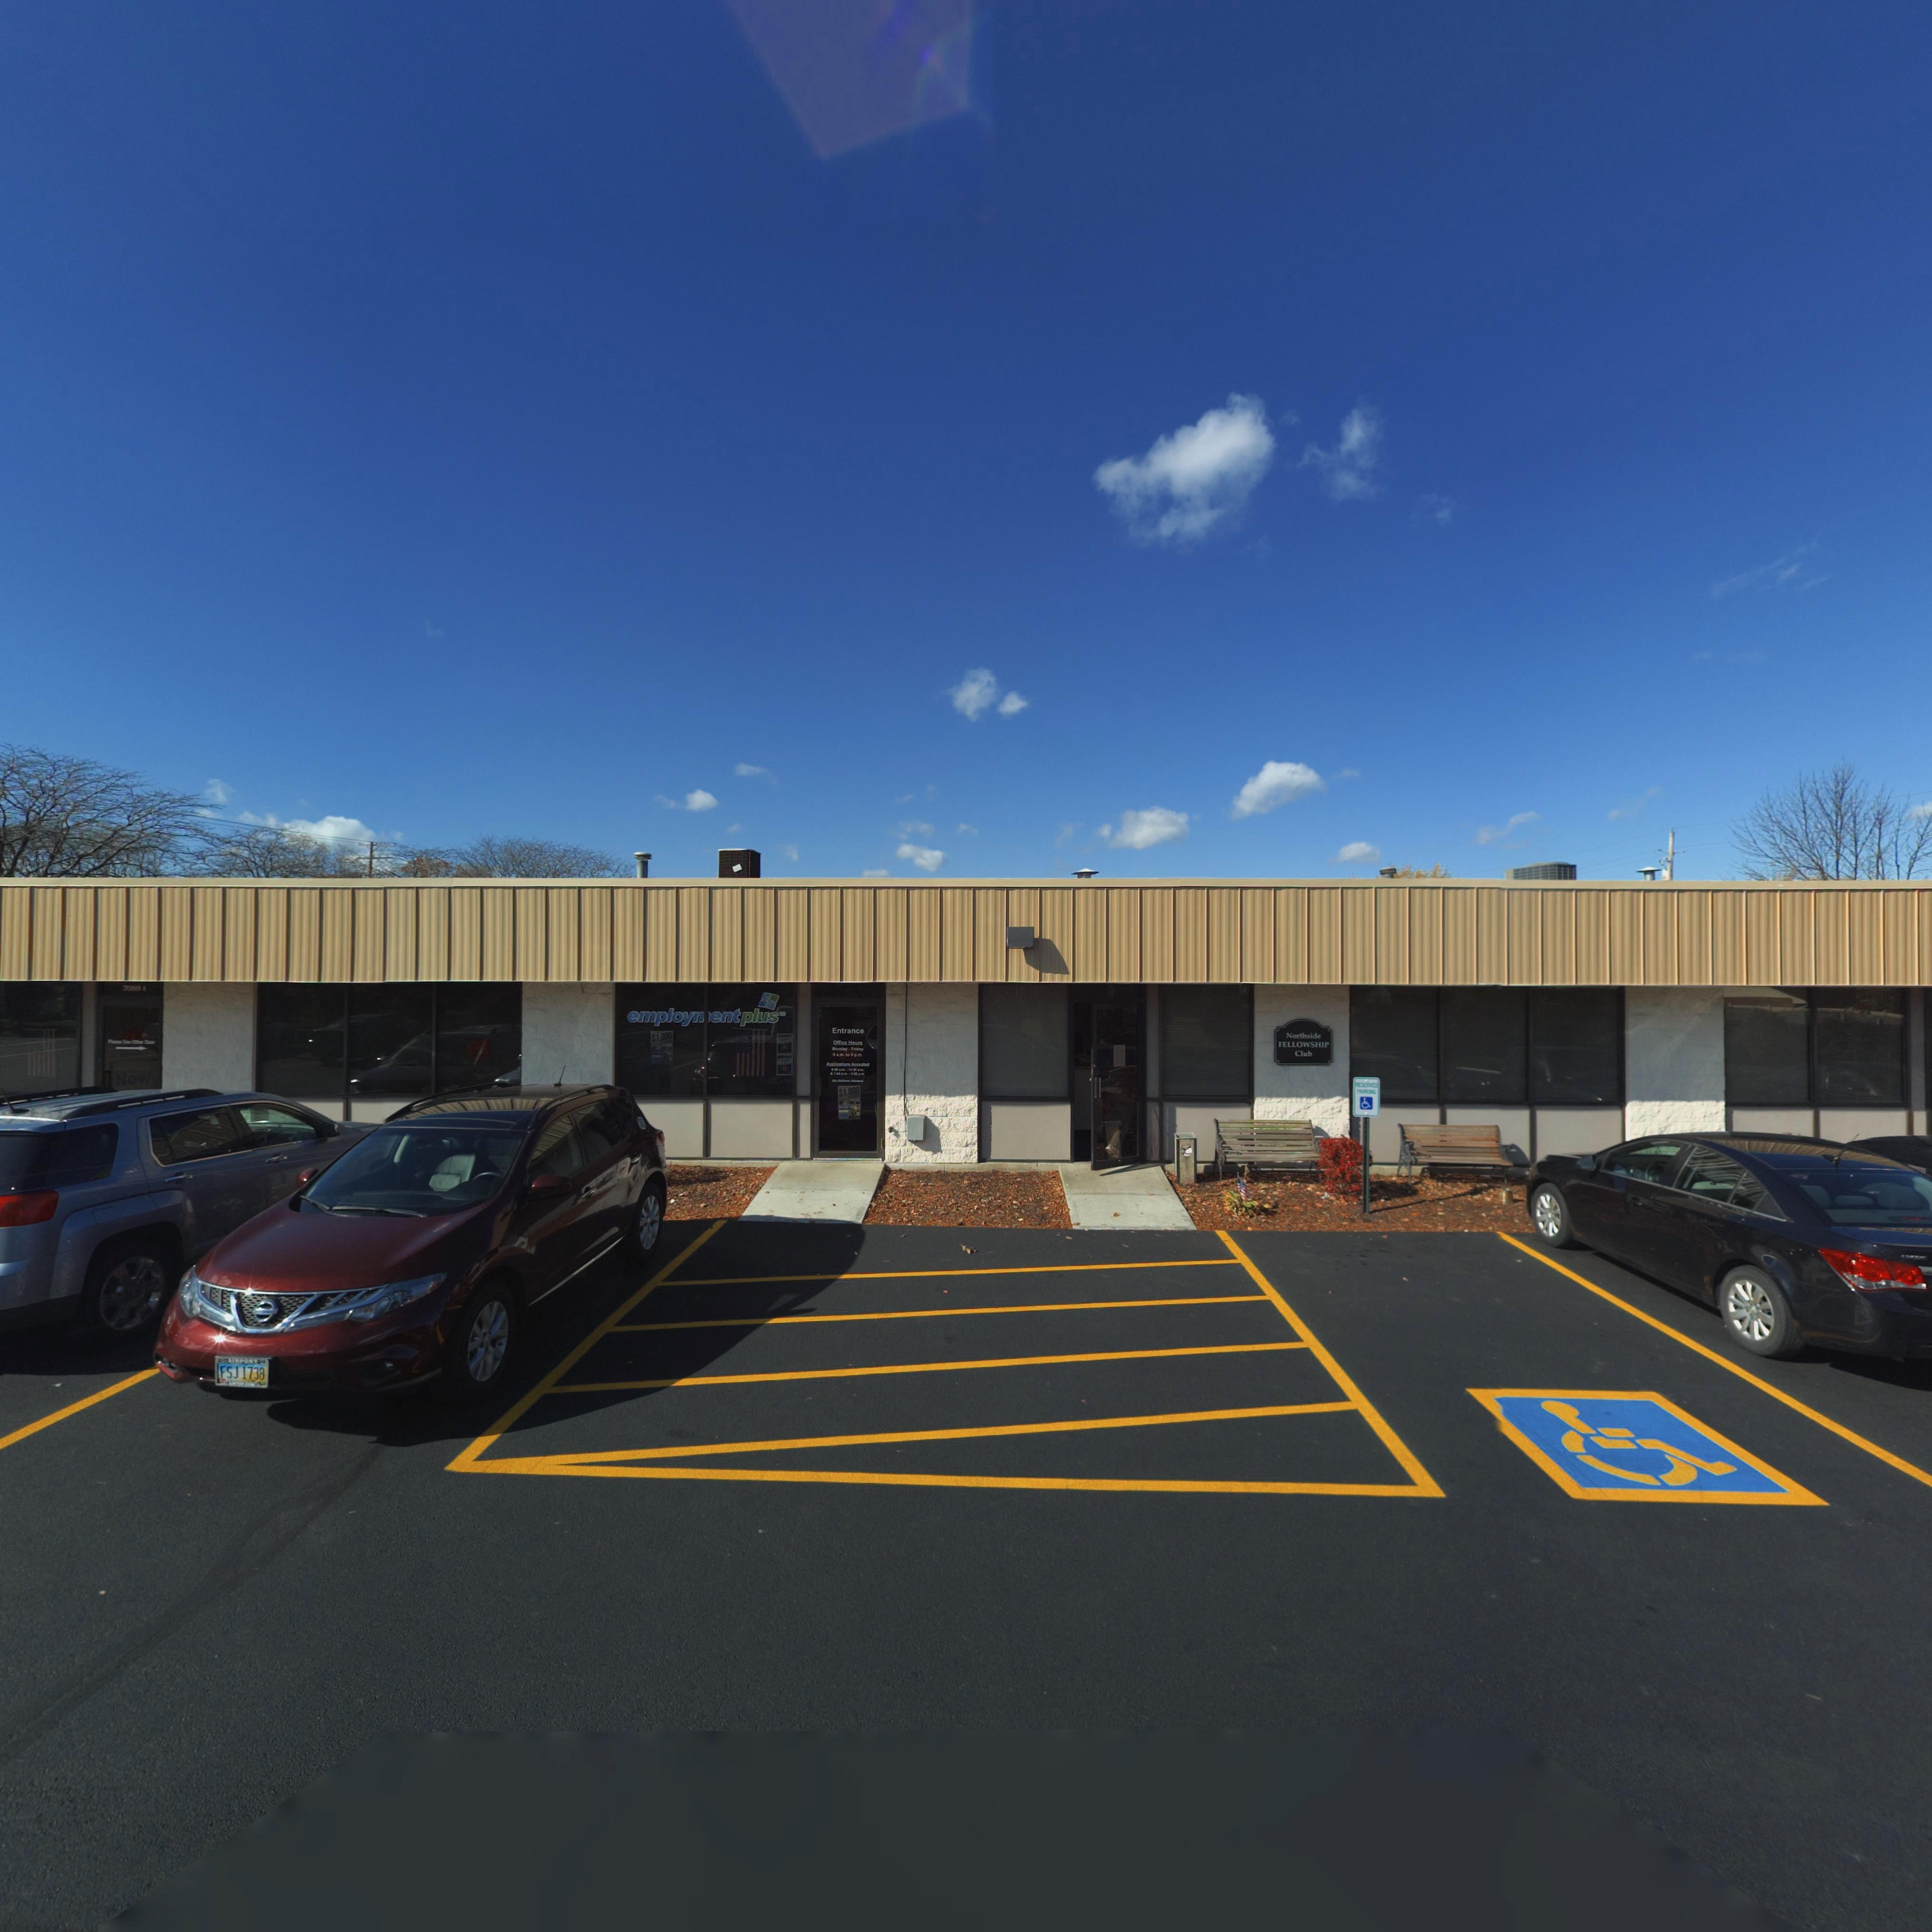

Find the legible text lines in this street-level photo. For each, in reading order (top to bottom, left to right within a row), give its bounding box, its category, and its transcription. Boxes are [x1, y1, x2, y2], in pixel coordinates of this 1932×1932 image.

[122, 984, 147, 993] StreetNumber: 70** *